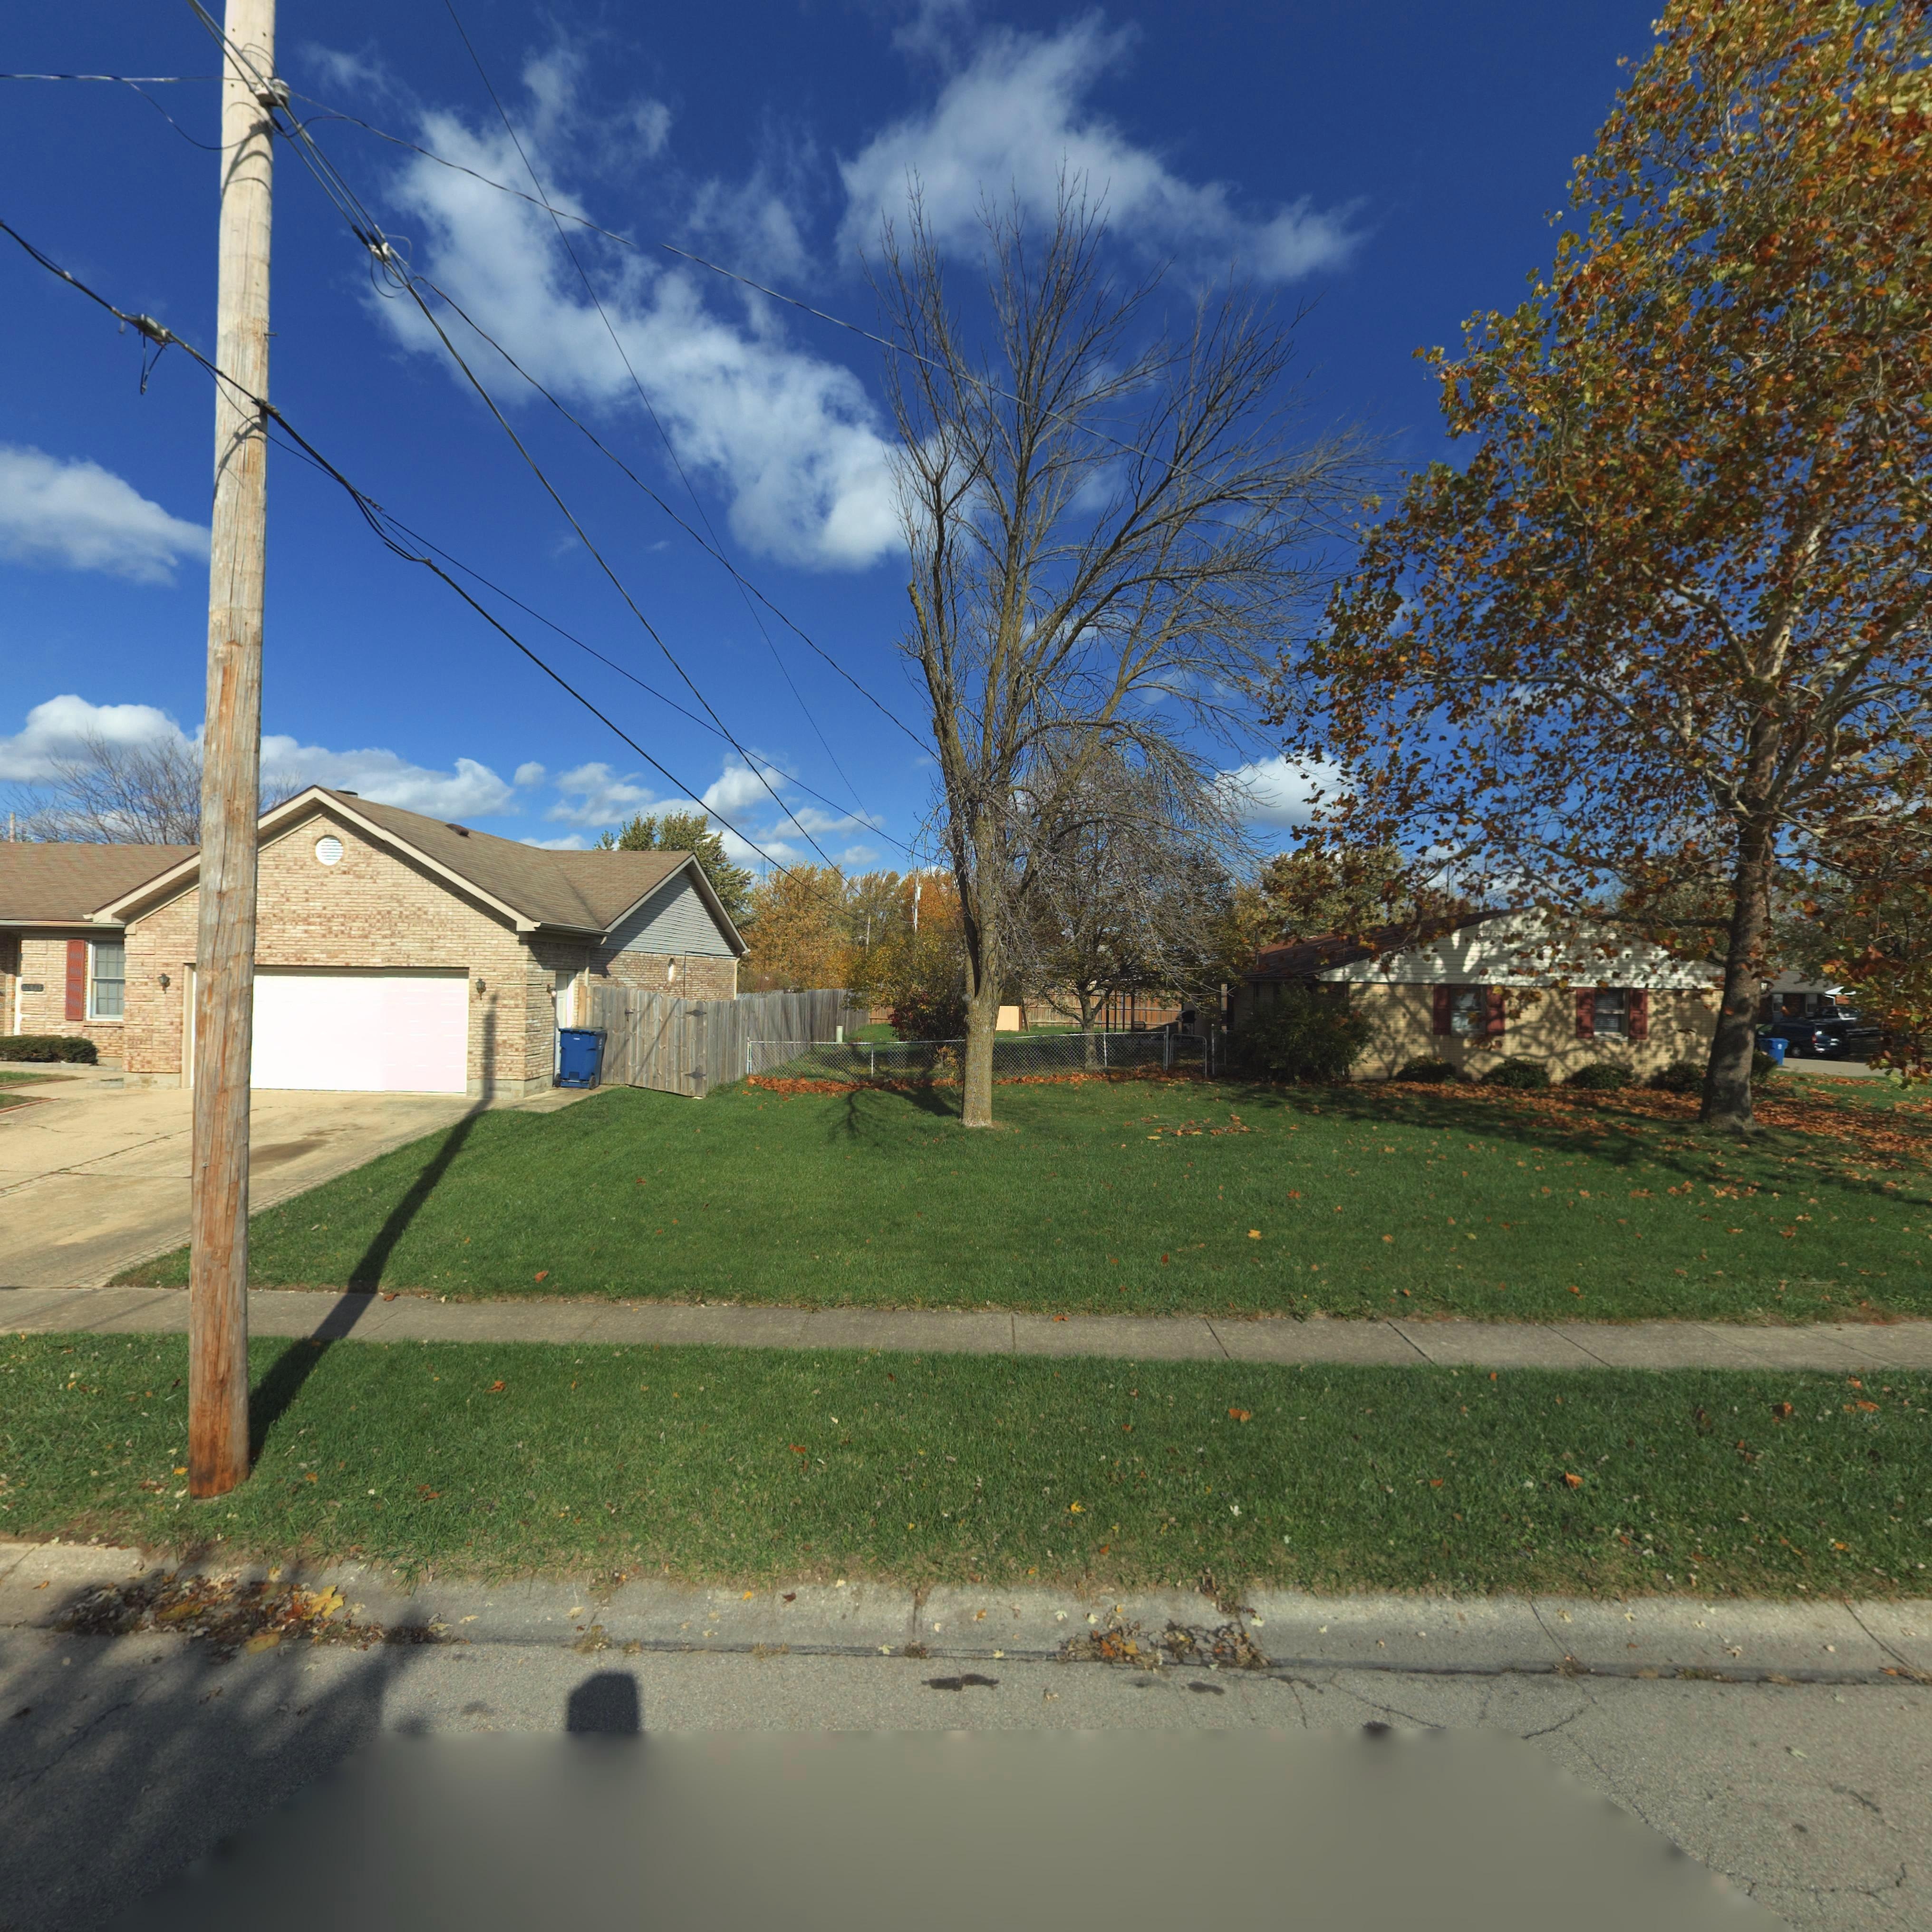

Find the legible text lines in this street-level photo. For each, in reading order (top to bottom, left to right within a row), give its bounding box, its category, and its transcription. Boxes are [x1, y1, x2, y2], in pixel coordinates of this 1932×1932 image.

[22, 984, 40, 991] StreetNumber: 7***